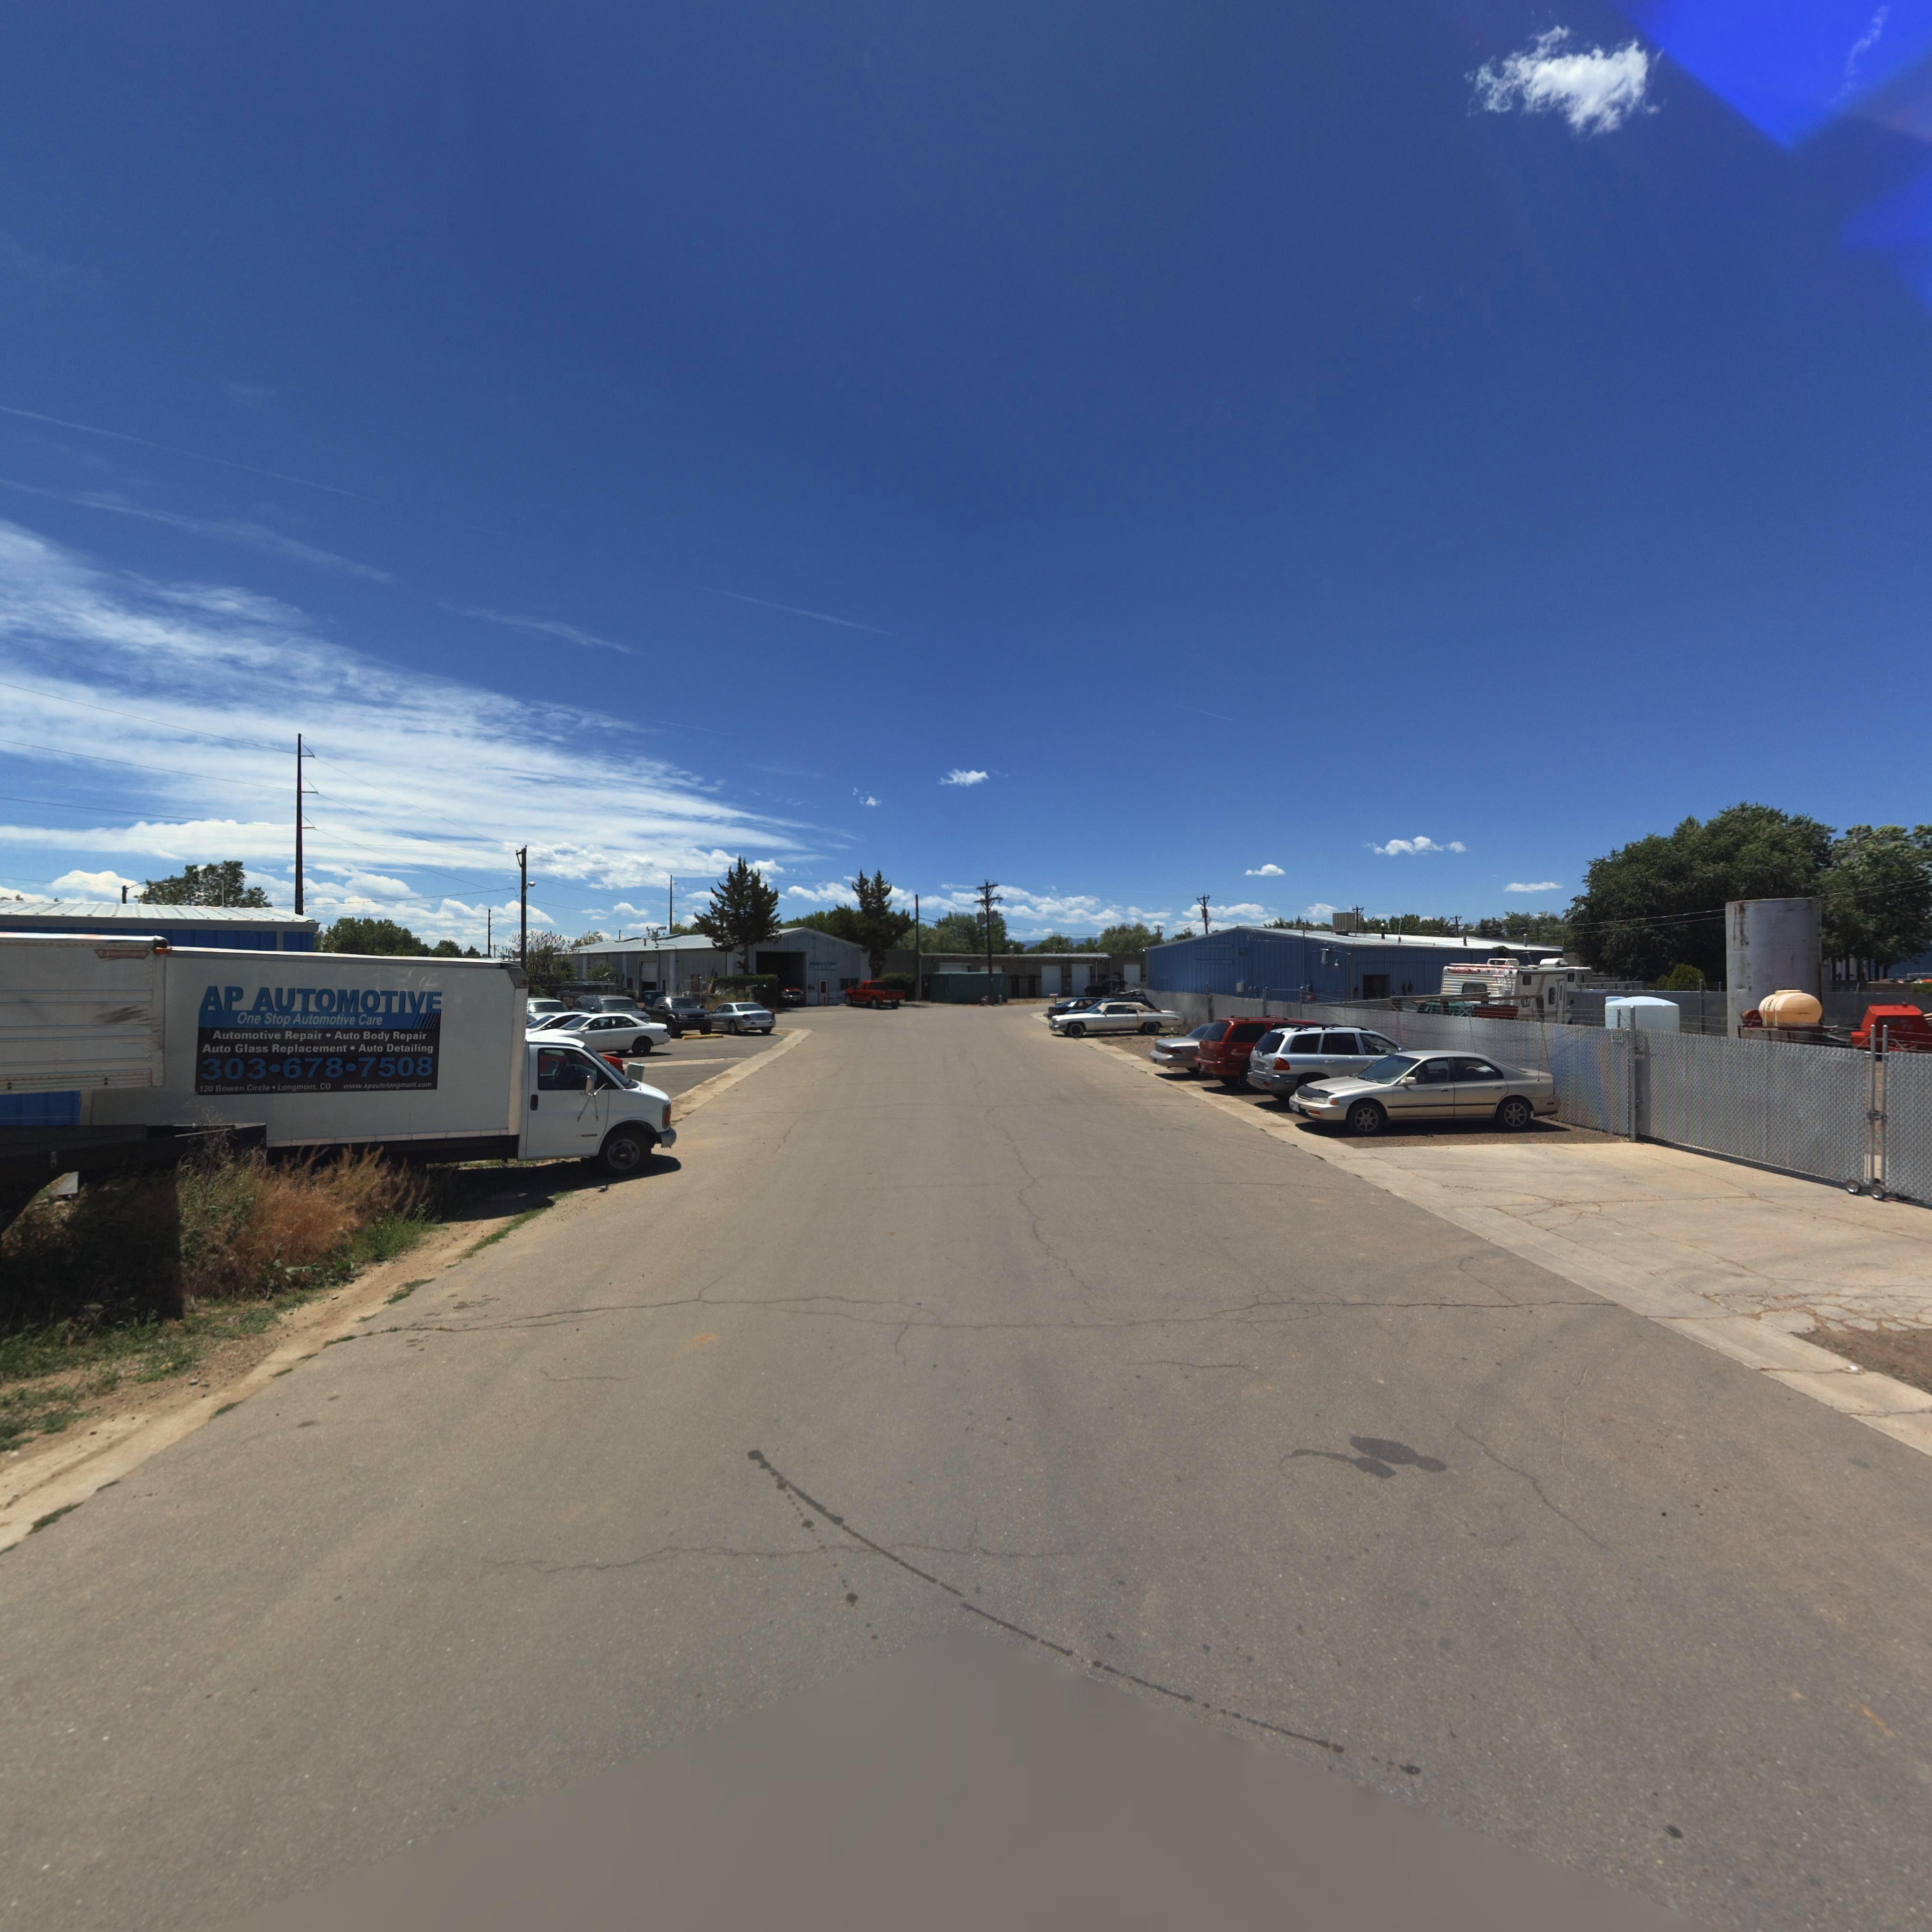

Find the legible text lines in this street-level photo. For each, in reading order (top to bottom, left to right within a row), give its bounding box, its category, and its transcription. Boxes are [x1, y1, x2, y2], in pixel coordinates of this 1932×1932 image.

[810, 965, 837, 970] BusinessName: EMISSIONS
[199, 1085, 213, 1092] StreetNumber: 120
[215, 1083, 270, 1092] StreetName: Bowen Circle